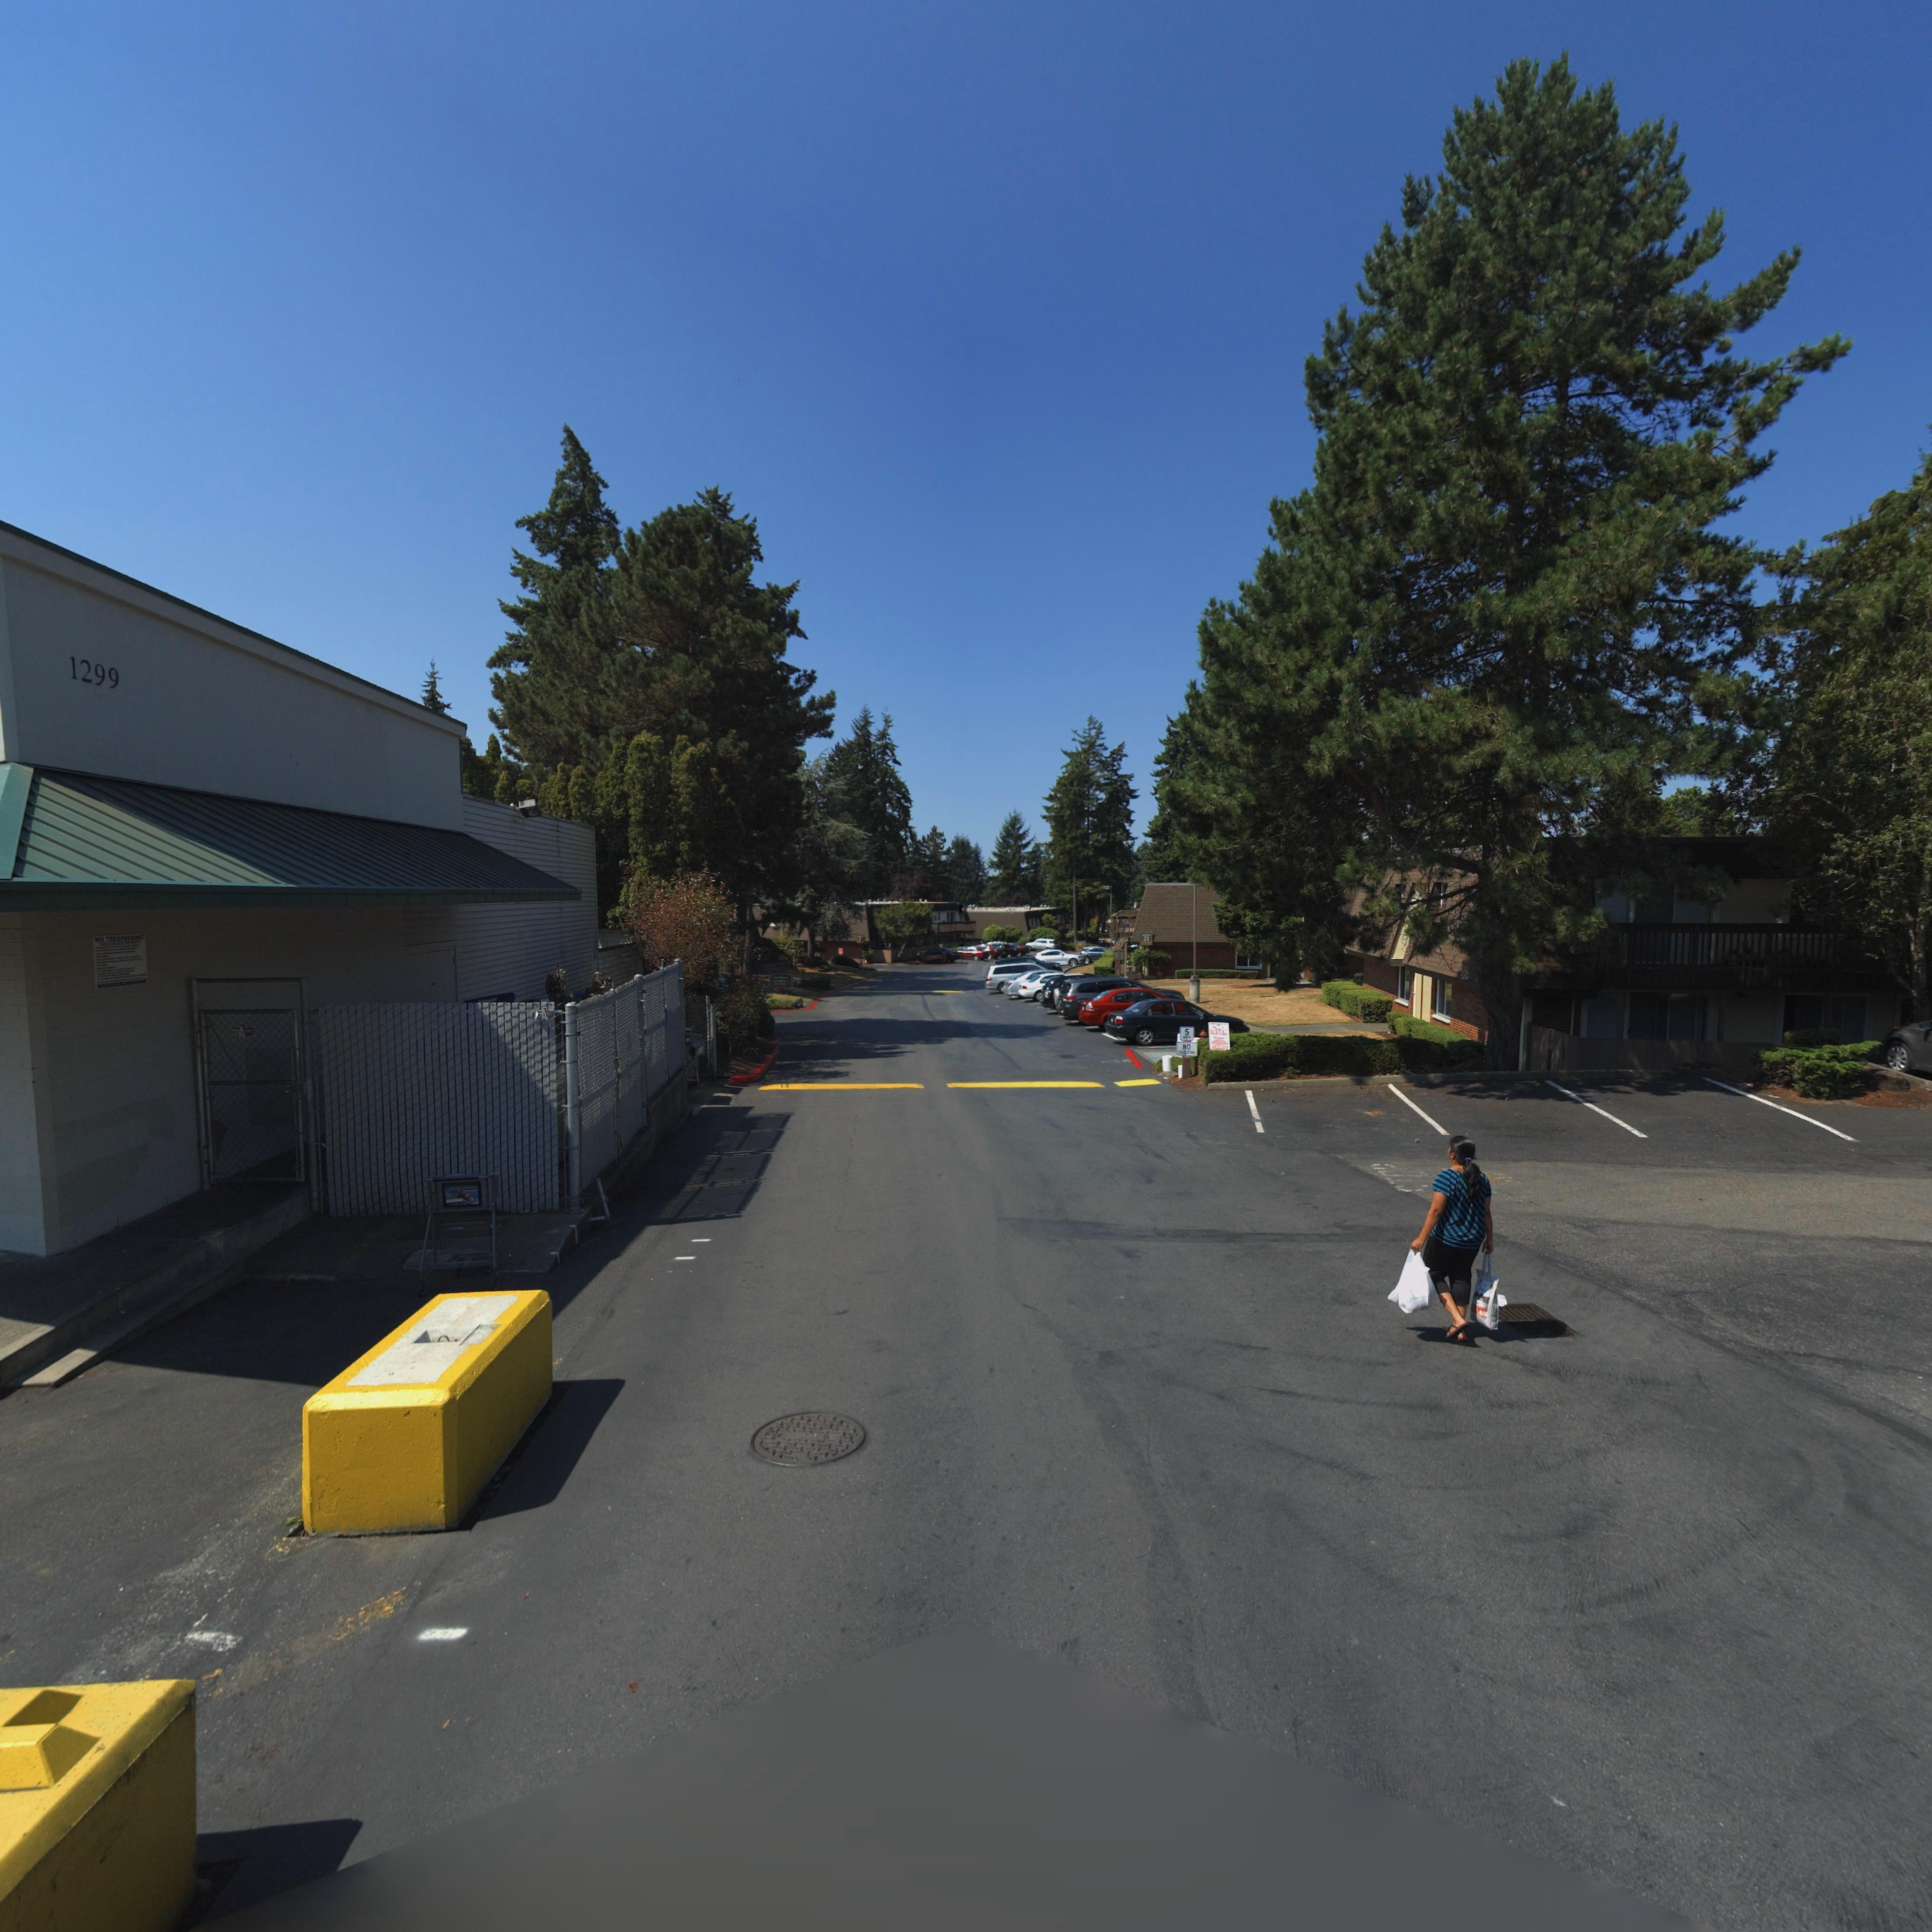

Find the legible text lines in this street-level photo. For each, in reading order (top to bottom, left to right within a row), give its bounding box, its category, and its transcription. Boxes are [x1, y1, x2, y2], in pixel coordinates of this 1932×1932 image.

[69, 655, 119, 690] StreetNumber: 1299